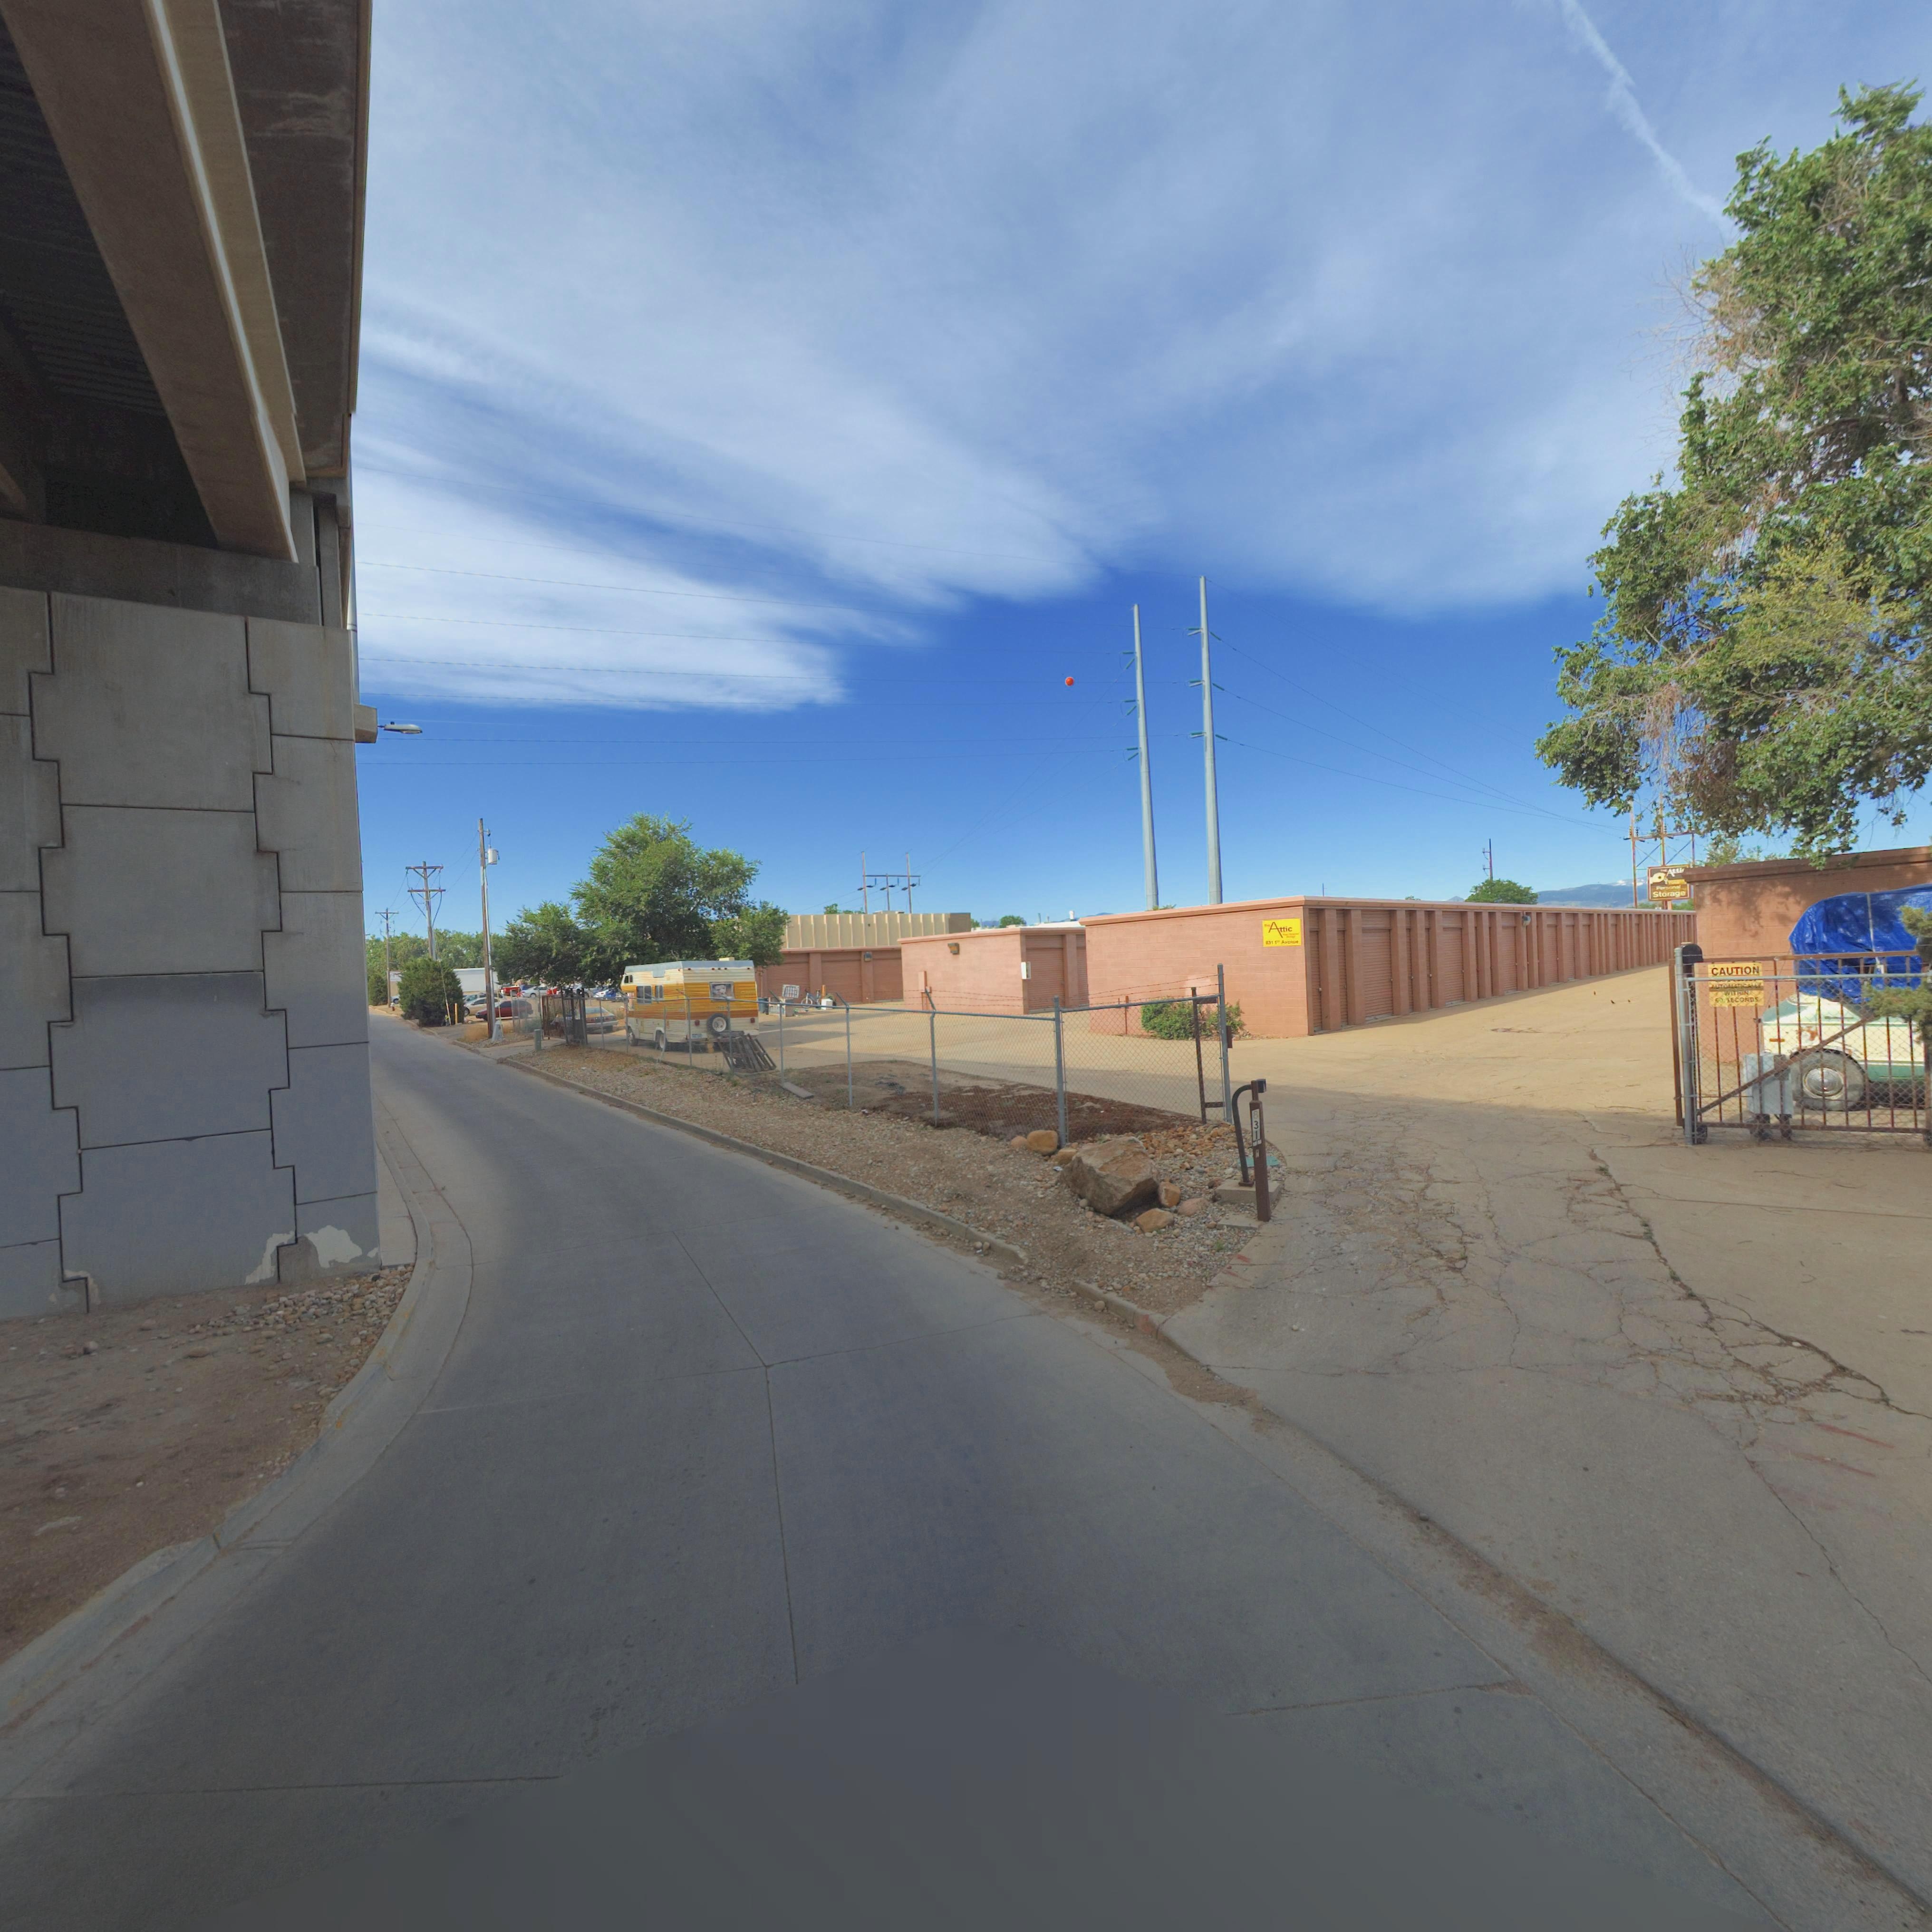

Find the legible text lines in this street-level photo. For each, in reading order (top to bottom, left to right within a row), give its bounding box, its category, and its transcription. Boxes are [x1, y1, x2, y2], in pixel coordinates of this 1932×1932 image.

[1264, 924, 1270, 927] BusinessName: the
[1267, 921, 1293, 938] BusinessName: Attic
[1265, 940, 1273, 945] StreetNumber: *31
[1274, 940, 1299, 945] StreetName: 1st Avenue
[1252, 1110, 1259, 1140] StreetNumber: 831